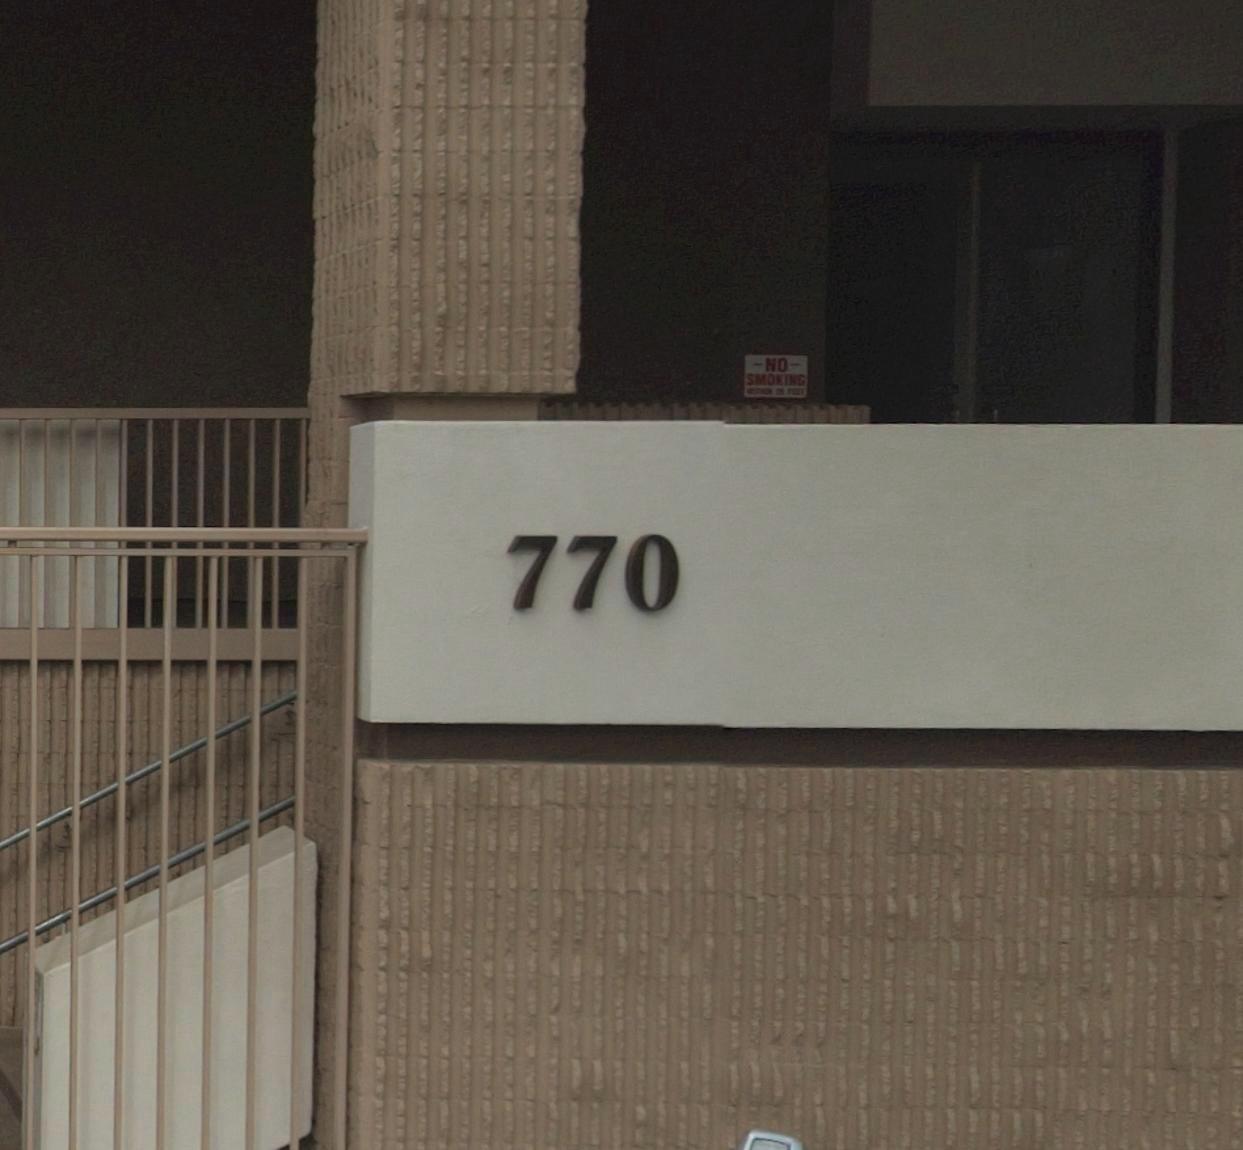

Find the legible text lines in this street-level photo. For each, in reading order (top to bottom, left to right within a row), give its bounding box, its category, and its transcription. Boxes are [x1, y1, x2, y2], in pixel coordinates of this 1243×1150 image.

[764, 356, 790, 373] None: NO
[745, 372, 808, 387] None: SMOKING
[504, 533, 688, 615] StreetNumber: 770